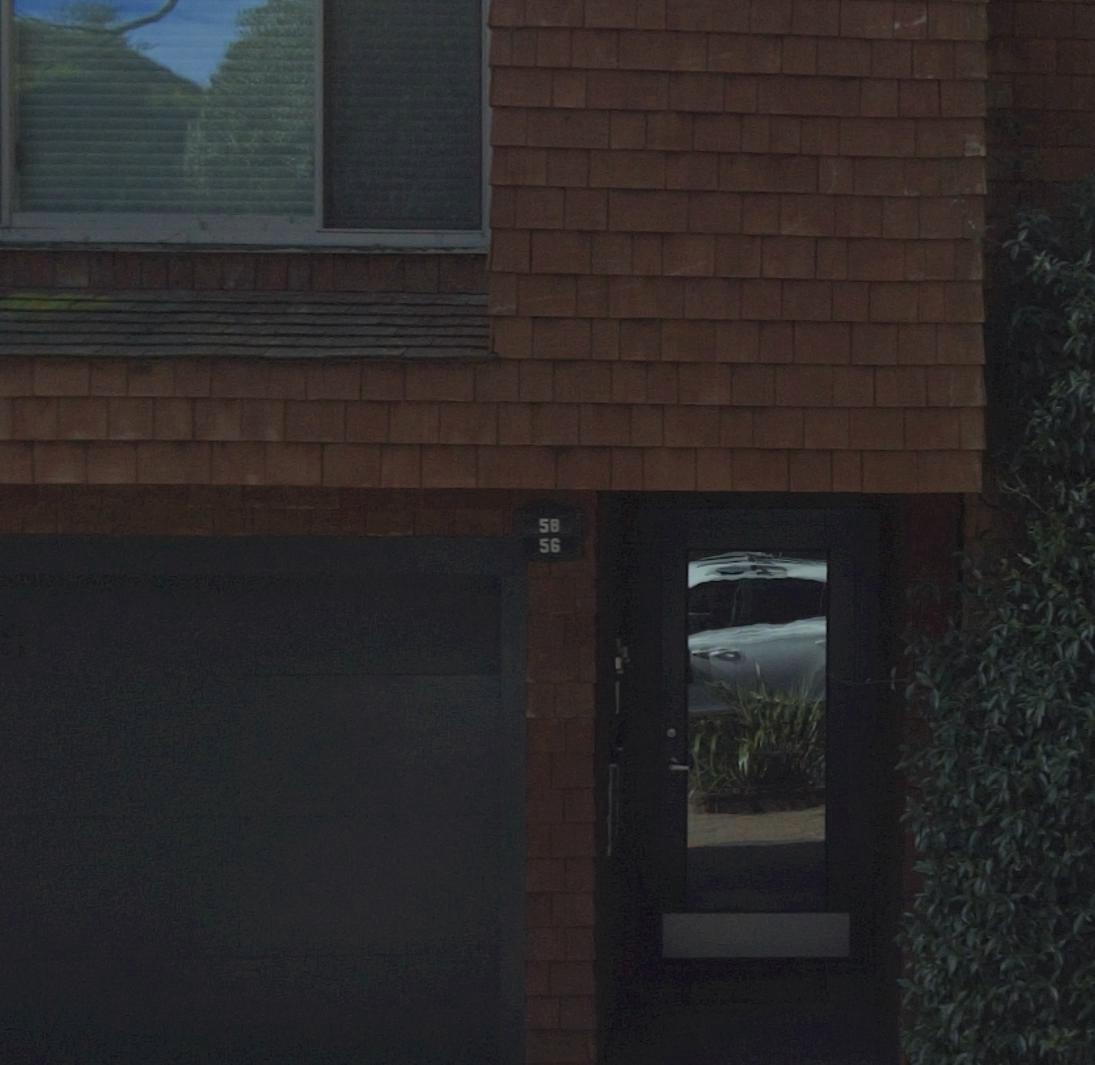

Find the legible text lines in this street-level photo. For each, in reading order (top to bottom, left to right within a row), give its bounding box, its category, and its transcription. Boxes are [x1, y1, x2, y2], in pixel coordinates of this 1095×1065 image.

[539, 518, 560, 534] StreetNumber: 58
[538, 536, 561, 553] StreetNumber: 56